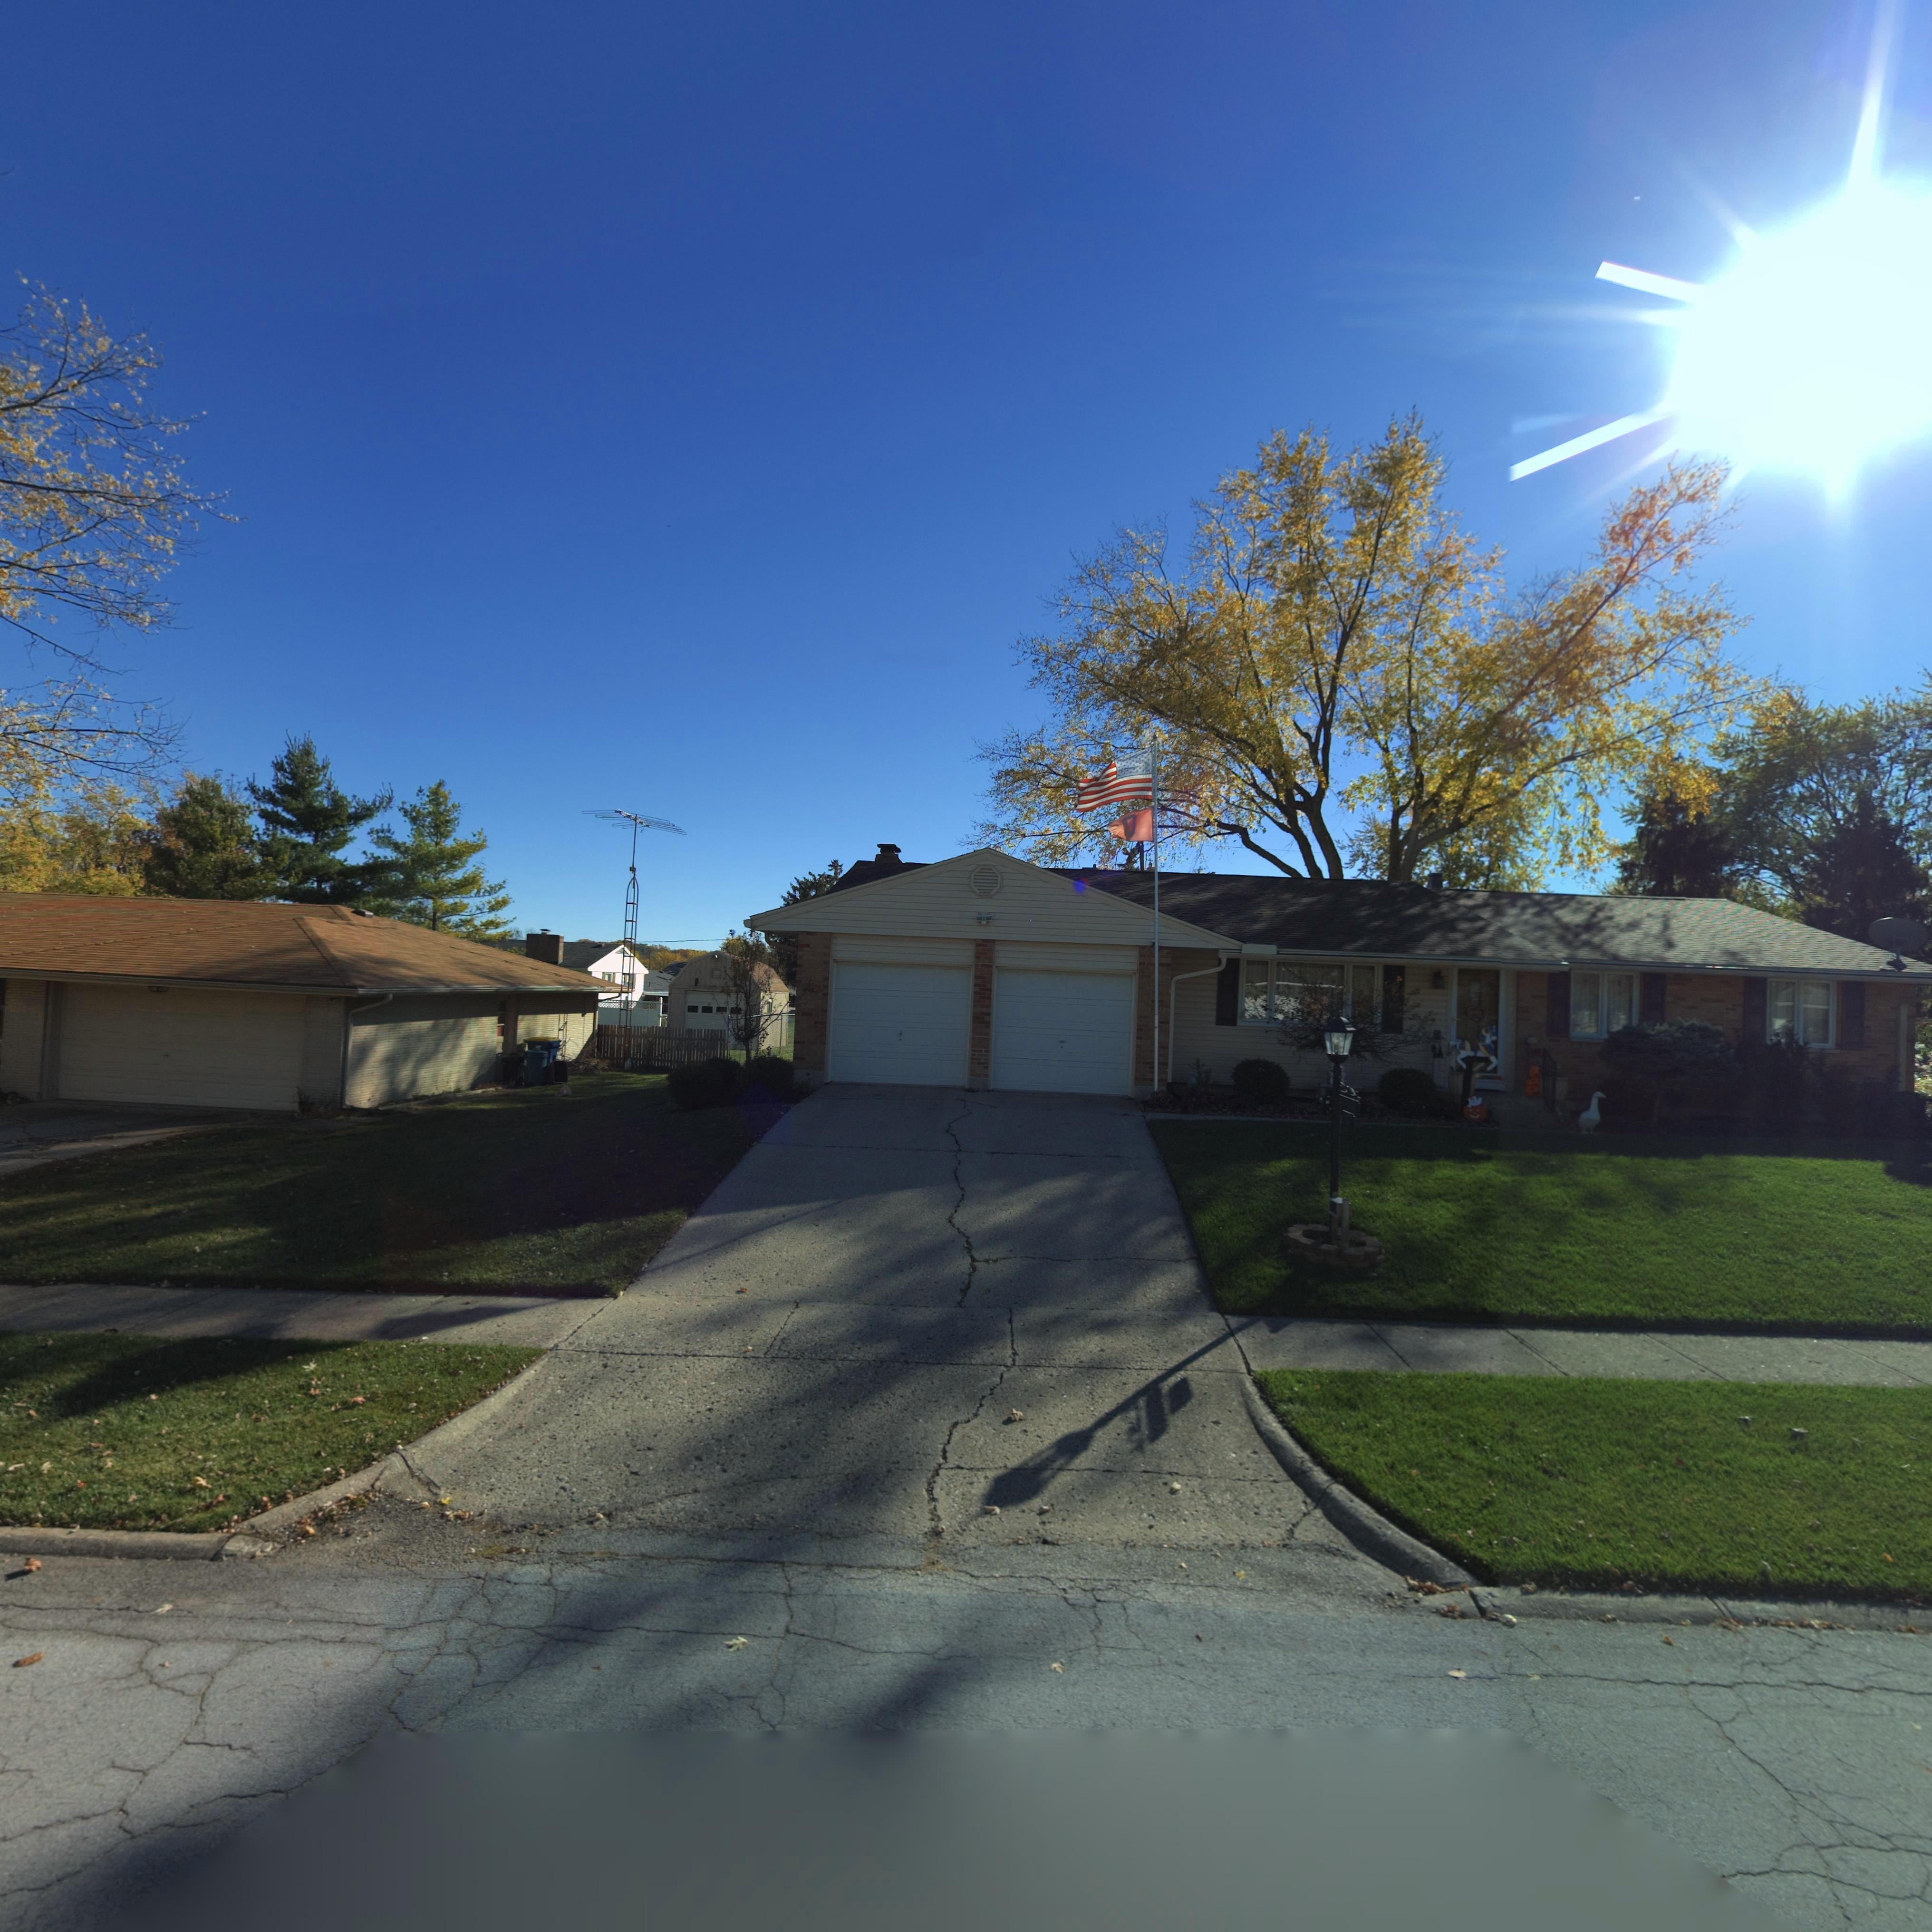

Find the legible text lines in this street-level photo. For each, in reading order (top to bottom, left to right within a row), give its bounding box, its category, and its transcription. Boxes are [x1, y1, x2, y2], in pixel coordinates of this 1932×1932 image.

[1345, 1099, 1358, 1112] StreetNumber: 07